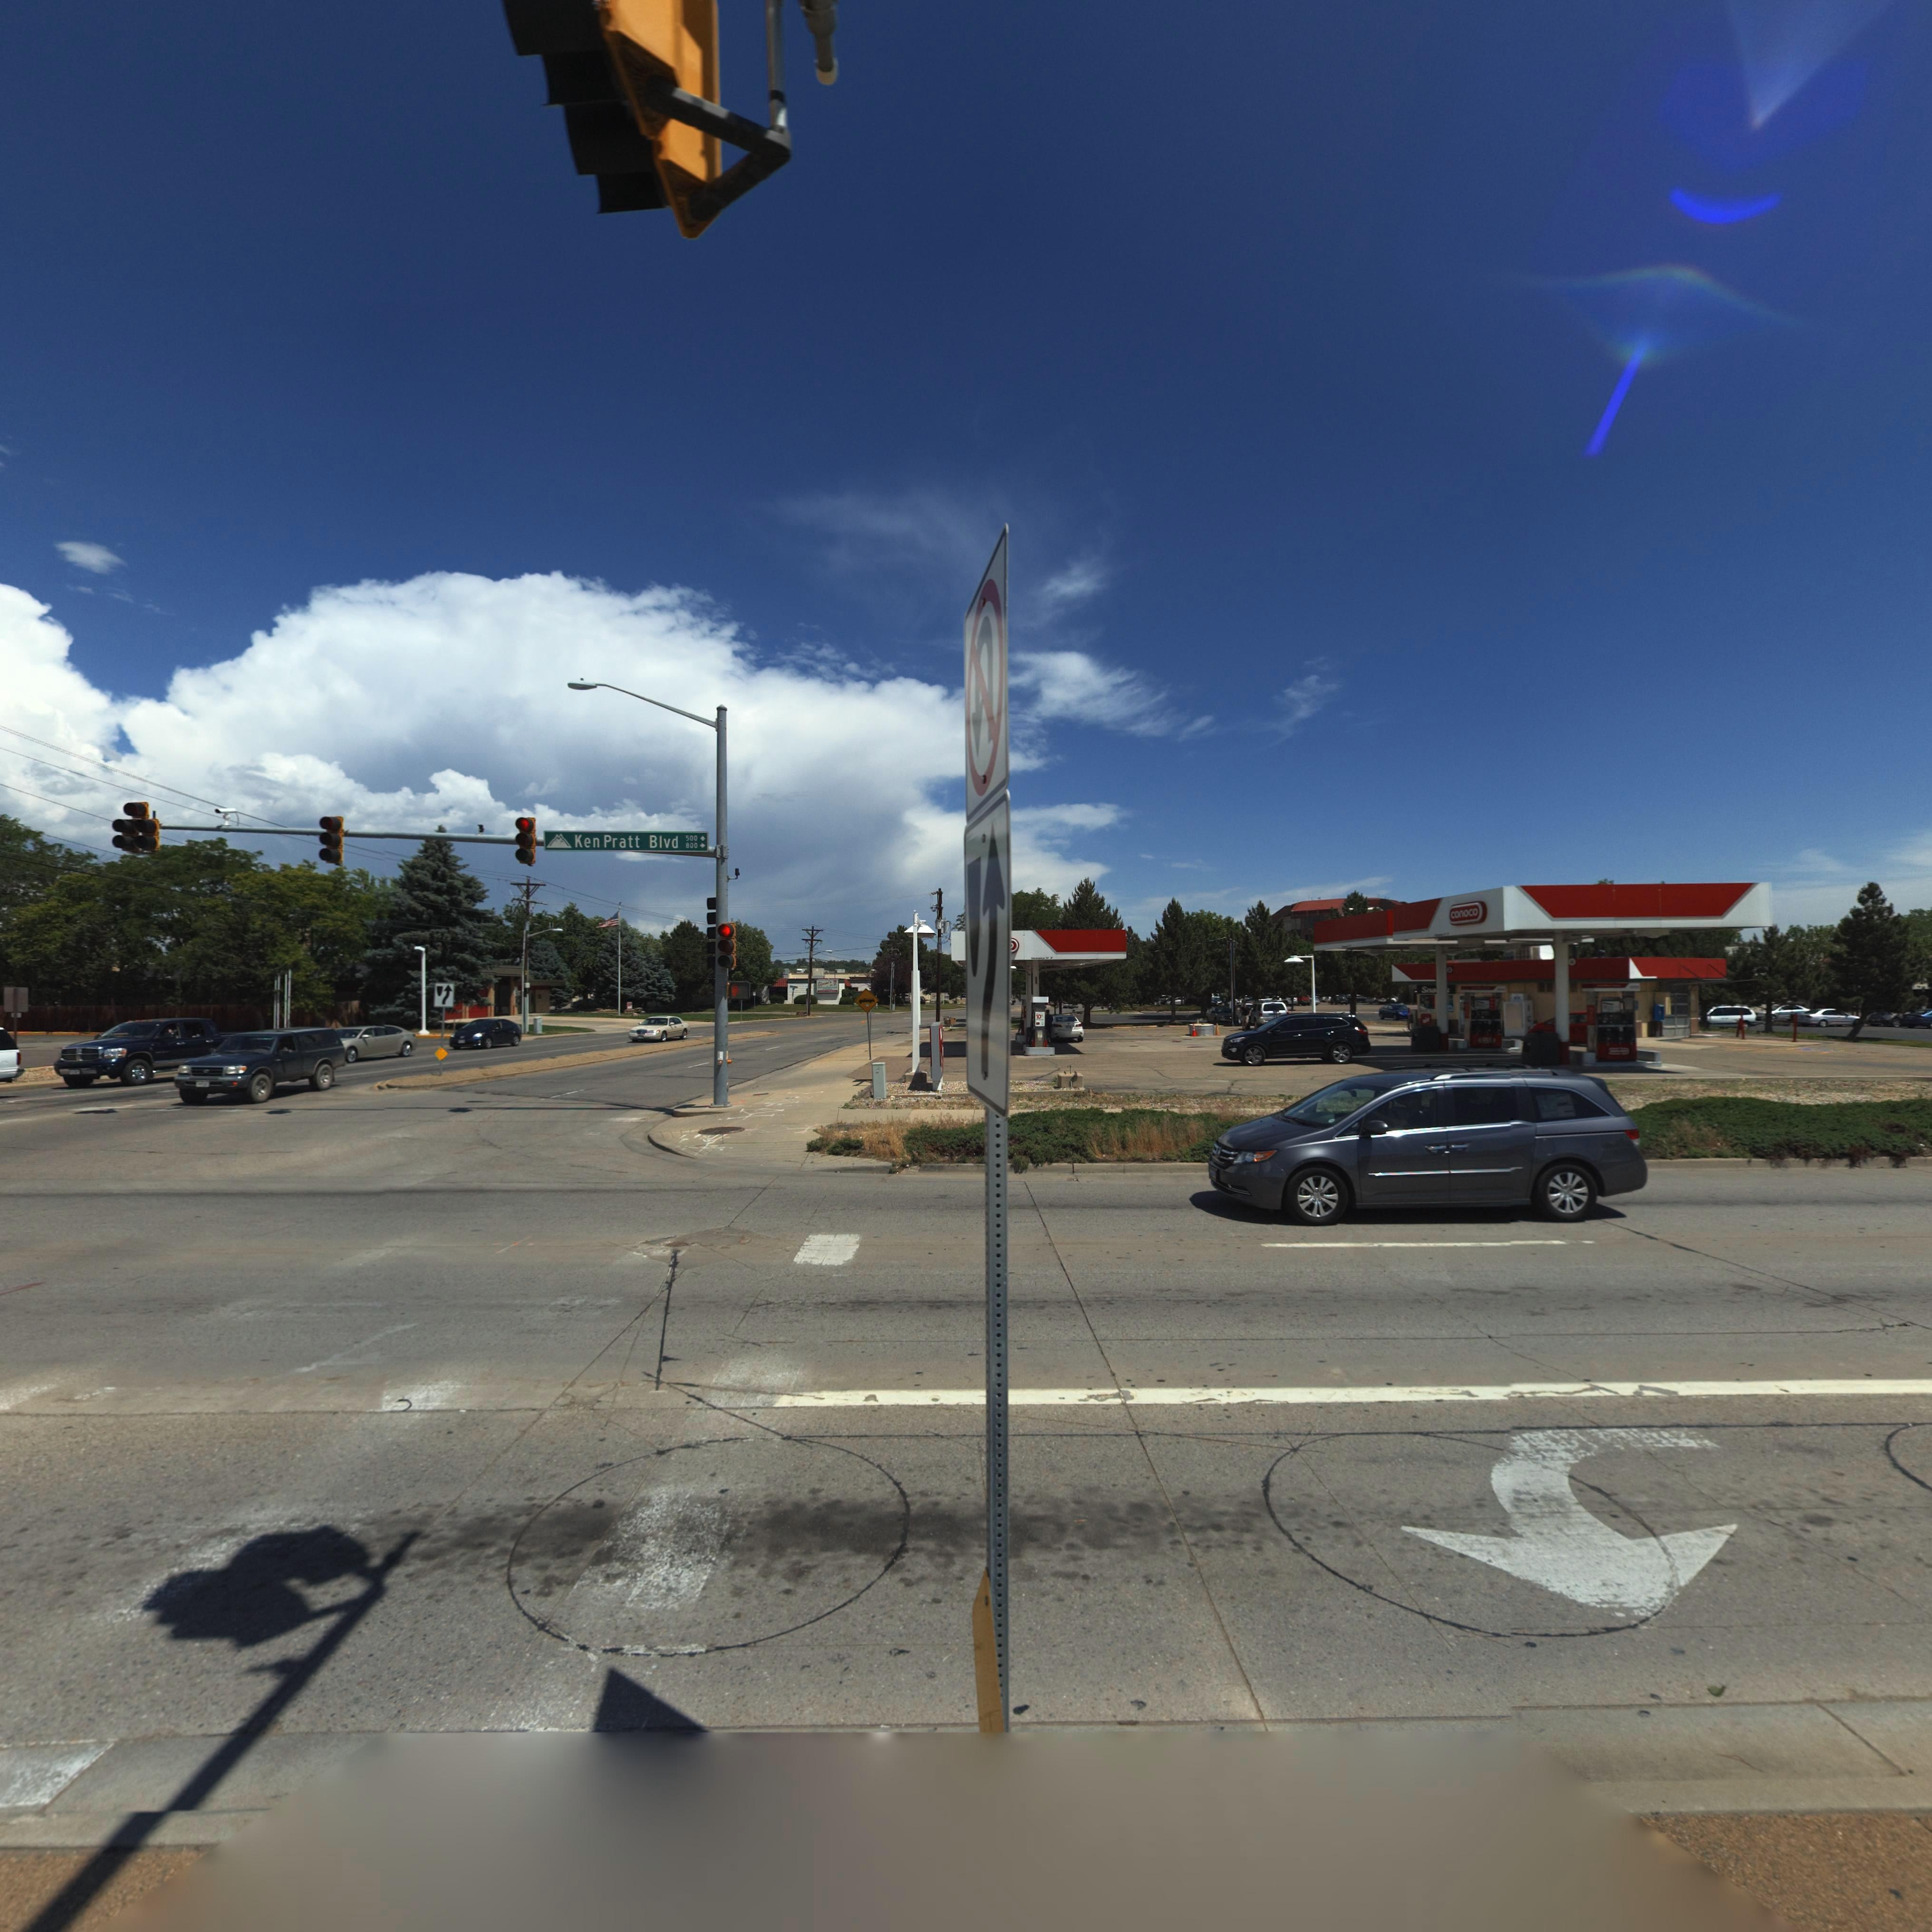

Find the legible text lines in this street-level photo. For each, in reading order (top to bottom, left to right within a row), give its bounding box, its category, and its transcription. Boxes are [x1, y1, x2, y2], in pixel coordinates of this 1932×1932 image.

[574, 834, 678, 848] StreetName: Ken Pratt Blvd
[686, 835, 697, 841] StreetNumberRange: 500
[685, 842, 705, 848] StreetNumberRange: 800 ->
[1450, 908, 1478, 918] BusinessName: conoco